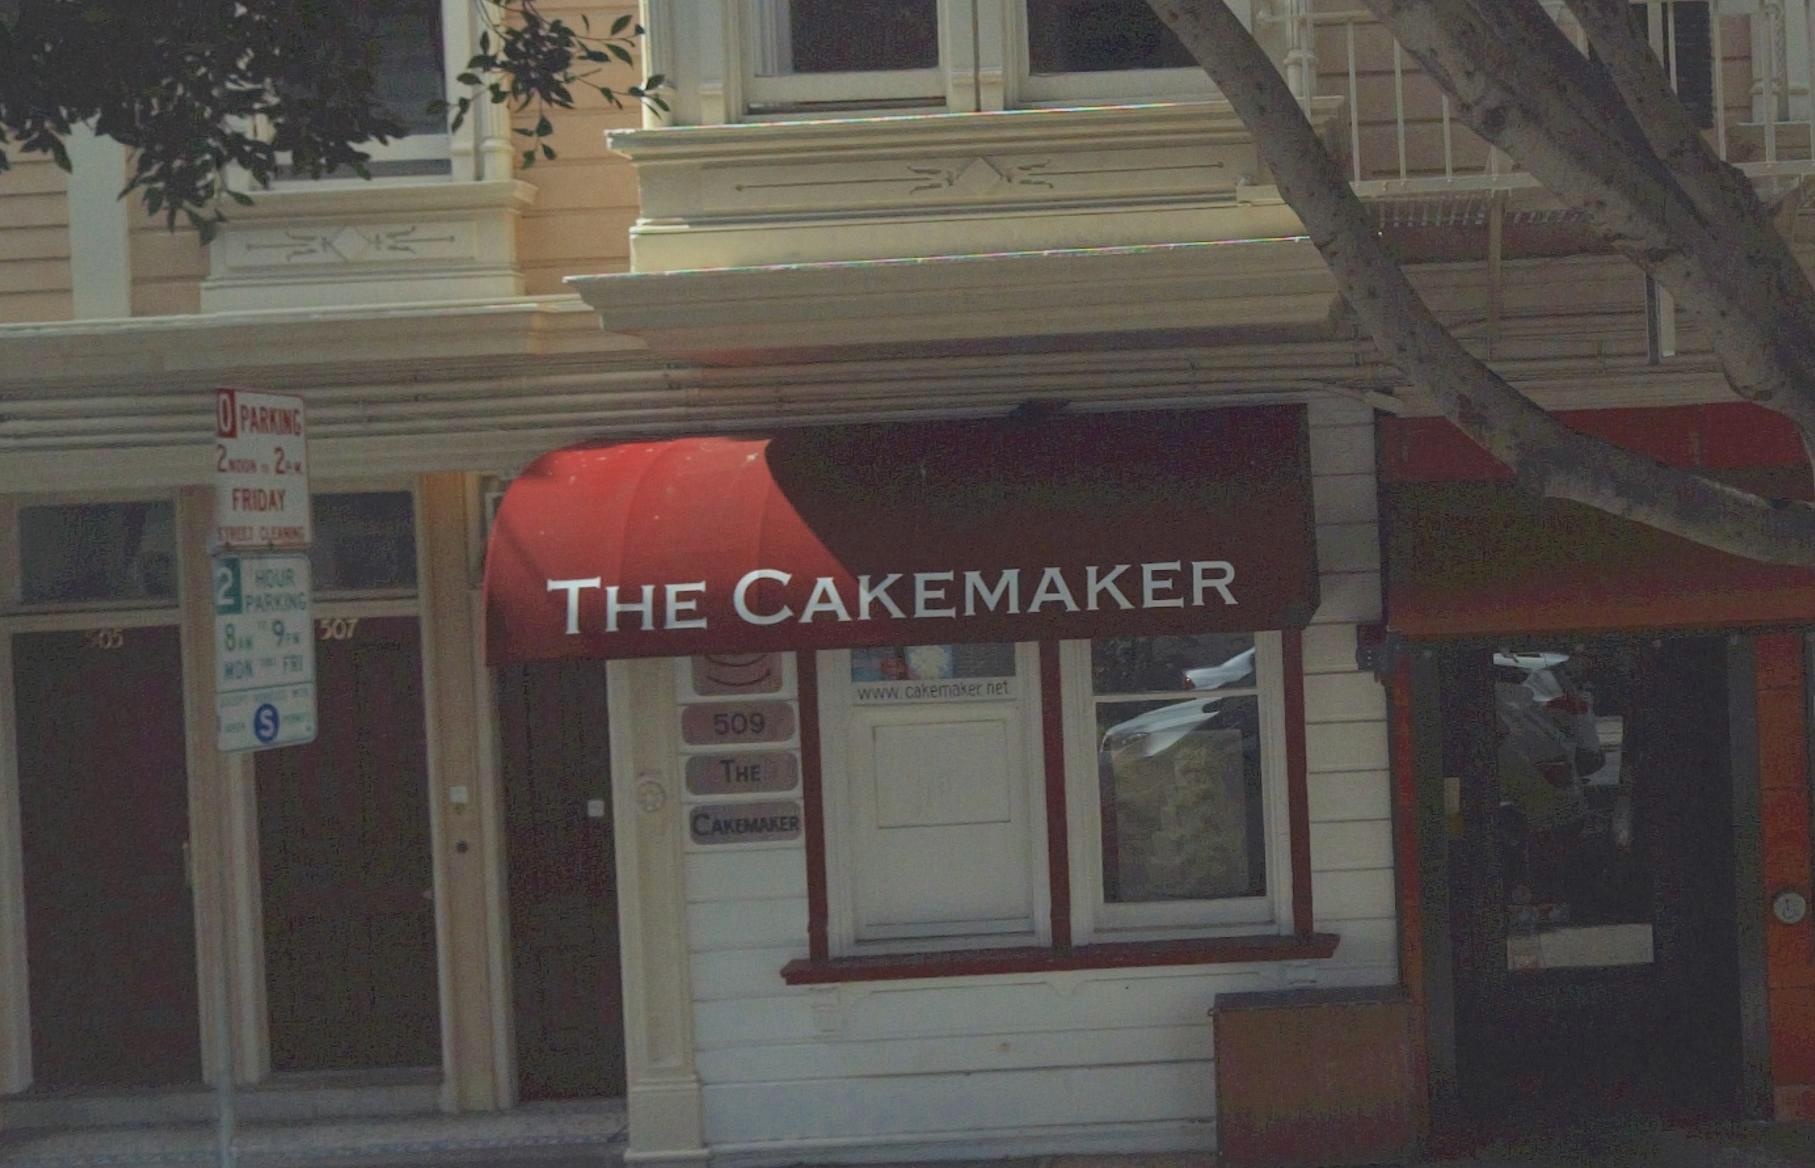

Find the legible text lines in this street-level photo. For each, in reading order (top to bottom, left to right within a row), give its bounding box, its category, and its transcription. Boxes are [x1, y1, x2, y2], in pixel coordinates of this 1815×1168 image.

[218, 391, 304, 439] None: O PARKING
[212, 438, 306, 479] None: 2NOON ** 2A.M.
[226, 484, 295, 514] None: FRIDAY
[212, 524, 309, 545] None: STREET CLEANING
[213, 563, 237, 610] None: 2
[250, 564, 298, 590] None: HOUR
[242, 589, 308, 615] None: PARKING
[543, 557, 1243, 638] BusinessName: THE CAKEMAKER
[73, 626, 125, 656] StreetNumber: *05
[217, 616, 305, 654] None: 8AM ** 9PM
[316, 614, 363, 644] StreetNumber: 507
[213, 651, 308, 684] None: MON THRU FRI
[853, 676, 1012, 703] None: www.cakemaker.net
[256, 707, 279, 745] None: S
[707, 709, 771, 739] StreetNumber: 509
[716, 756, 765, 787] BusinessName: THE
[684, 809, 803, 841] BusinessName: CAKEMAKER